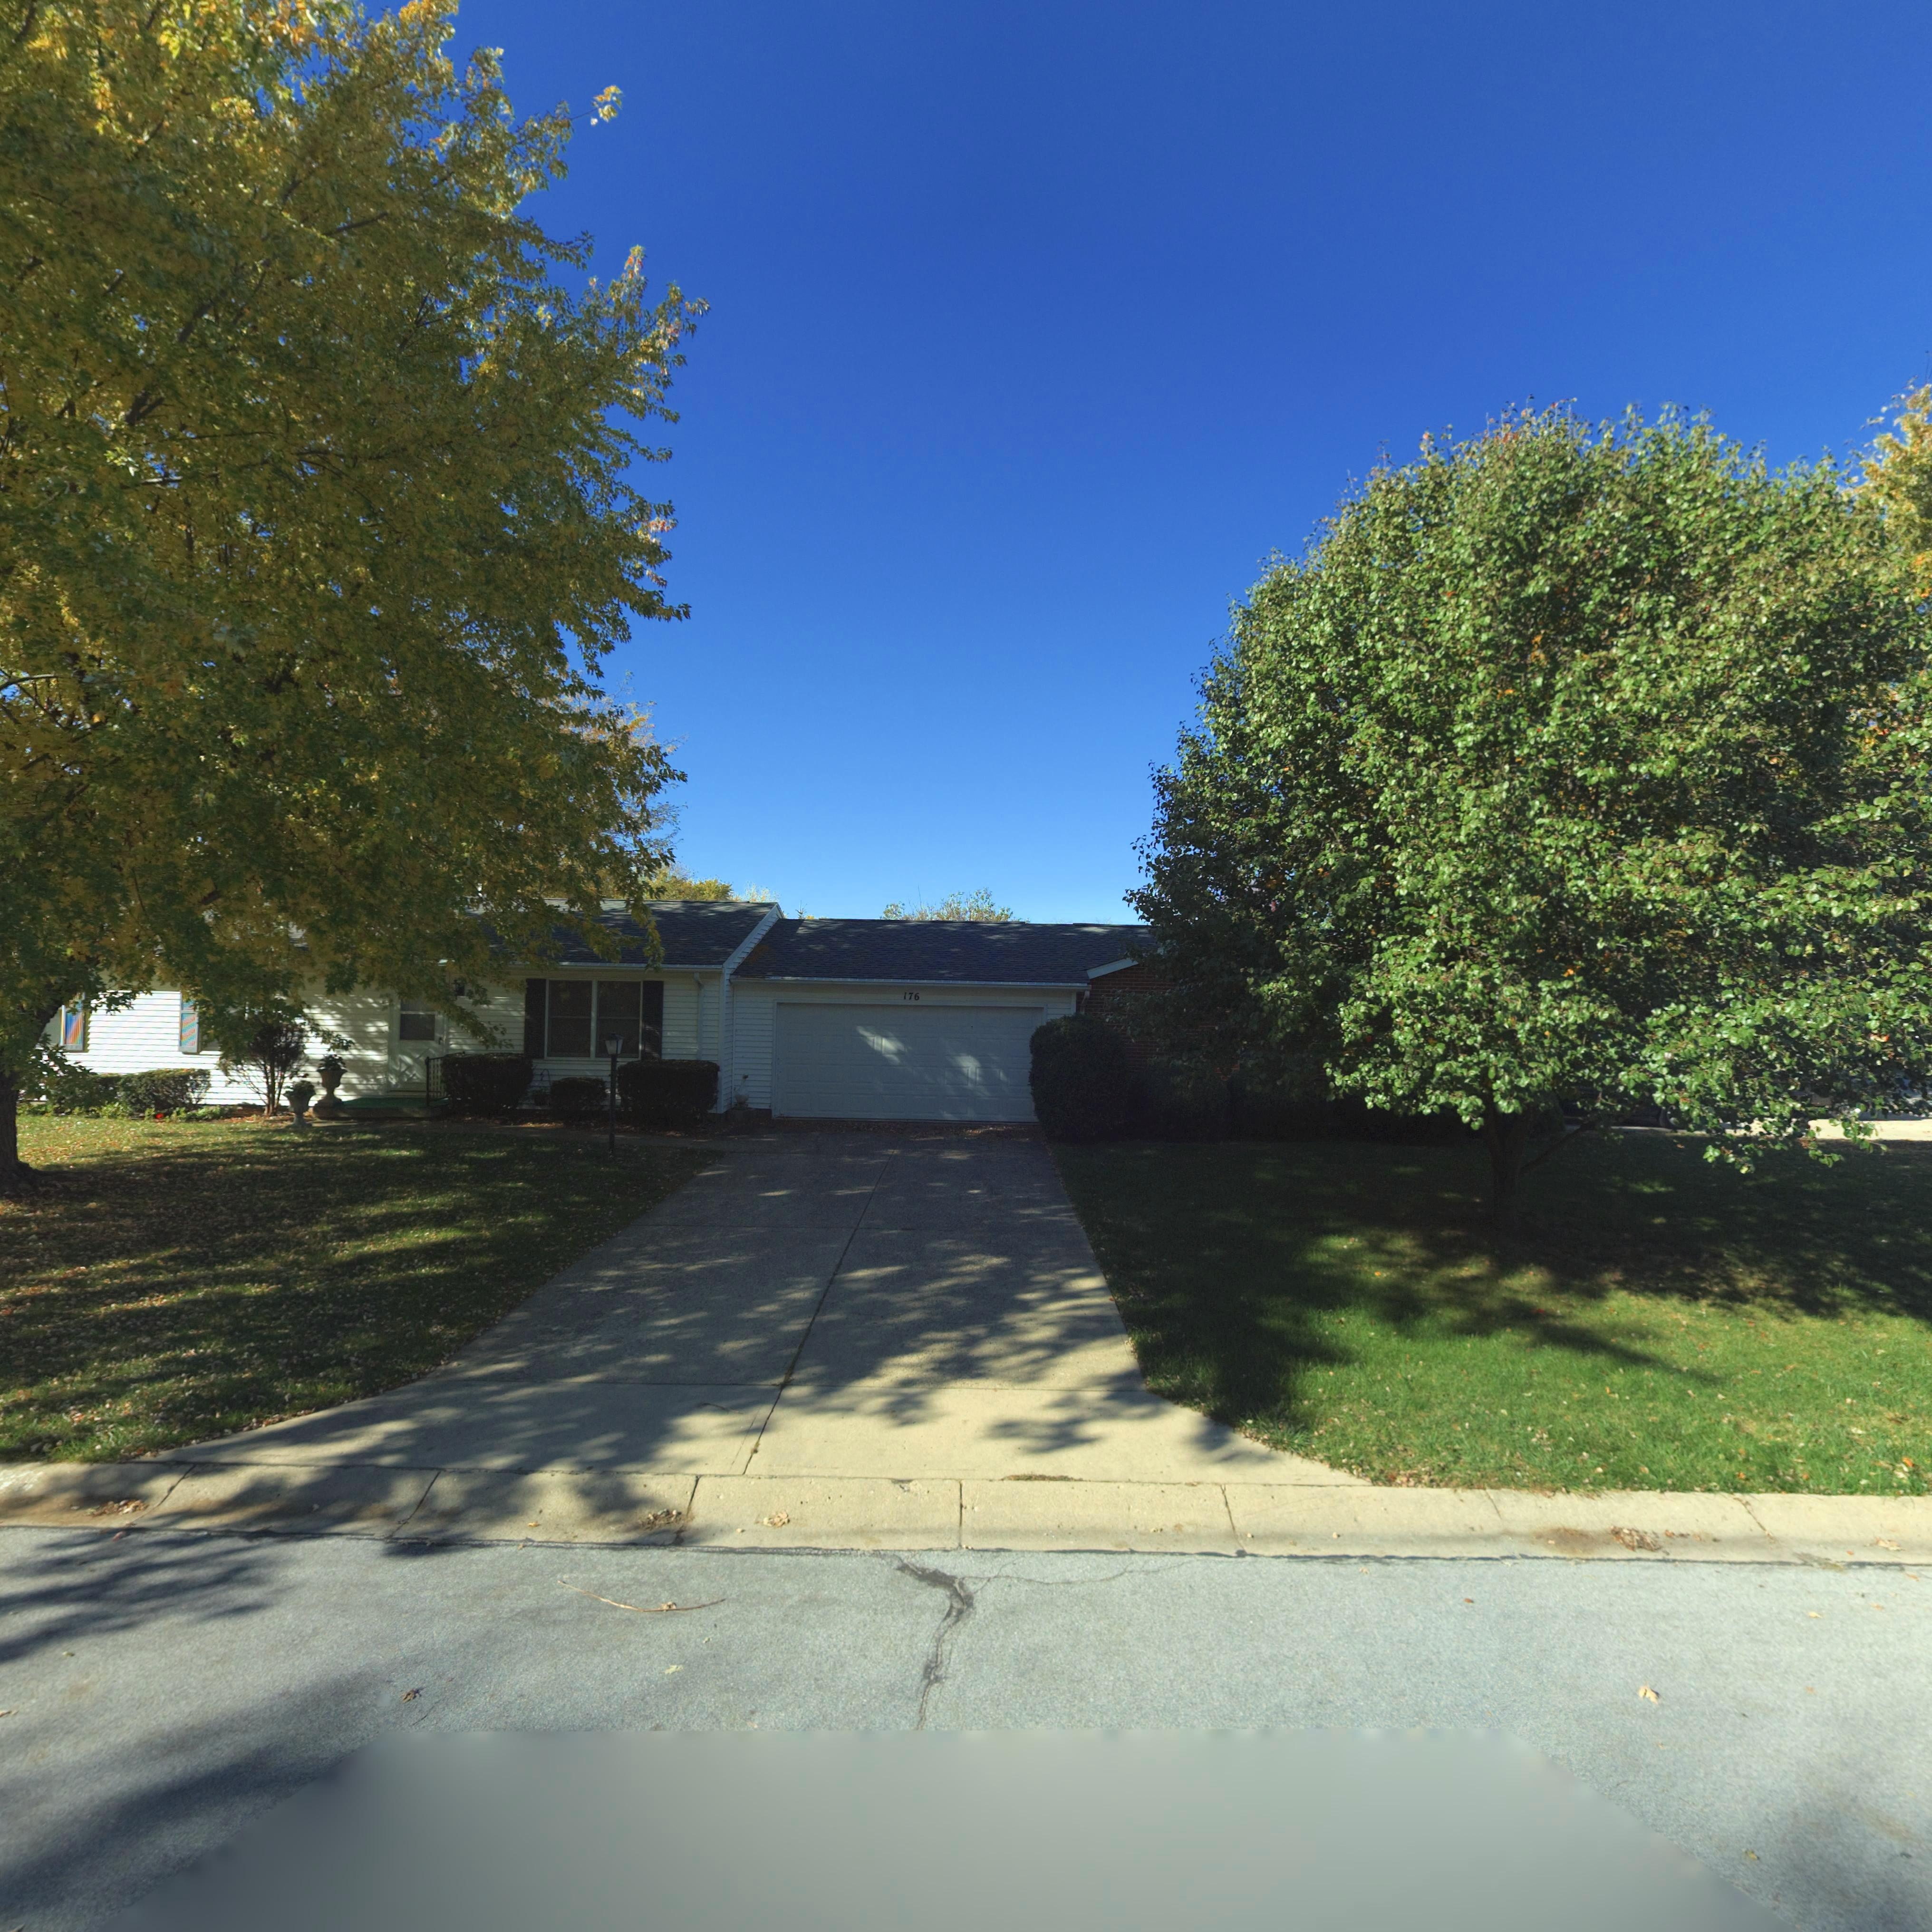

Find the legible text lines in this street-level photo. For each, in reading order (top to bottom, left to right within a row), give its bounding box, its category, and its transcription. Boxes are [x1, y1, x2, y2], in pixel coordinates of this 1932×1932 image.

[903, 991, 921, 1002] StreetNumber: 176